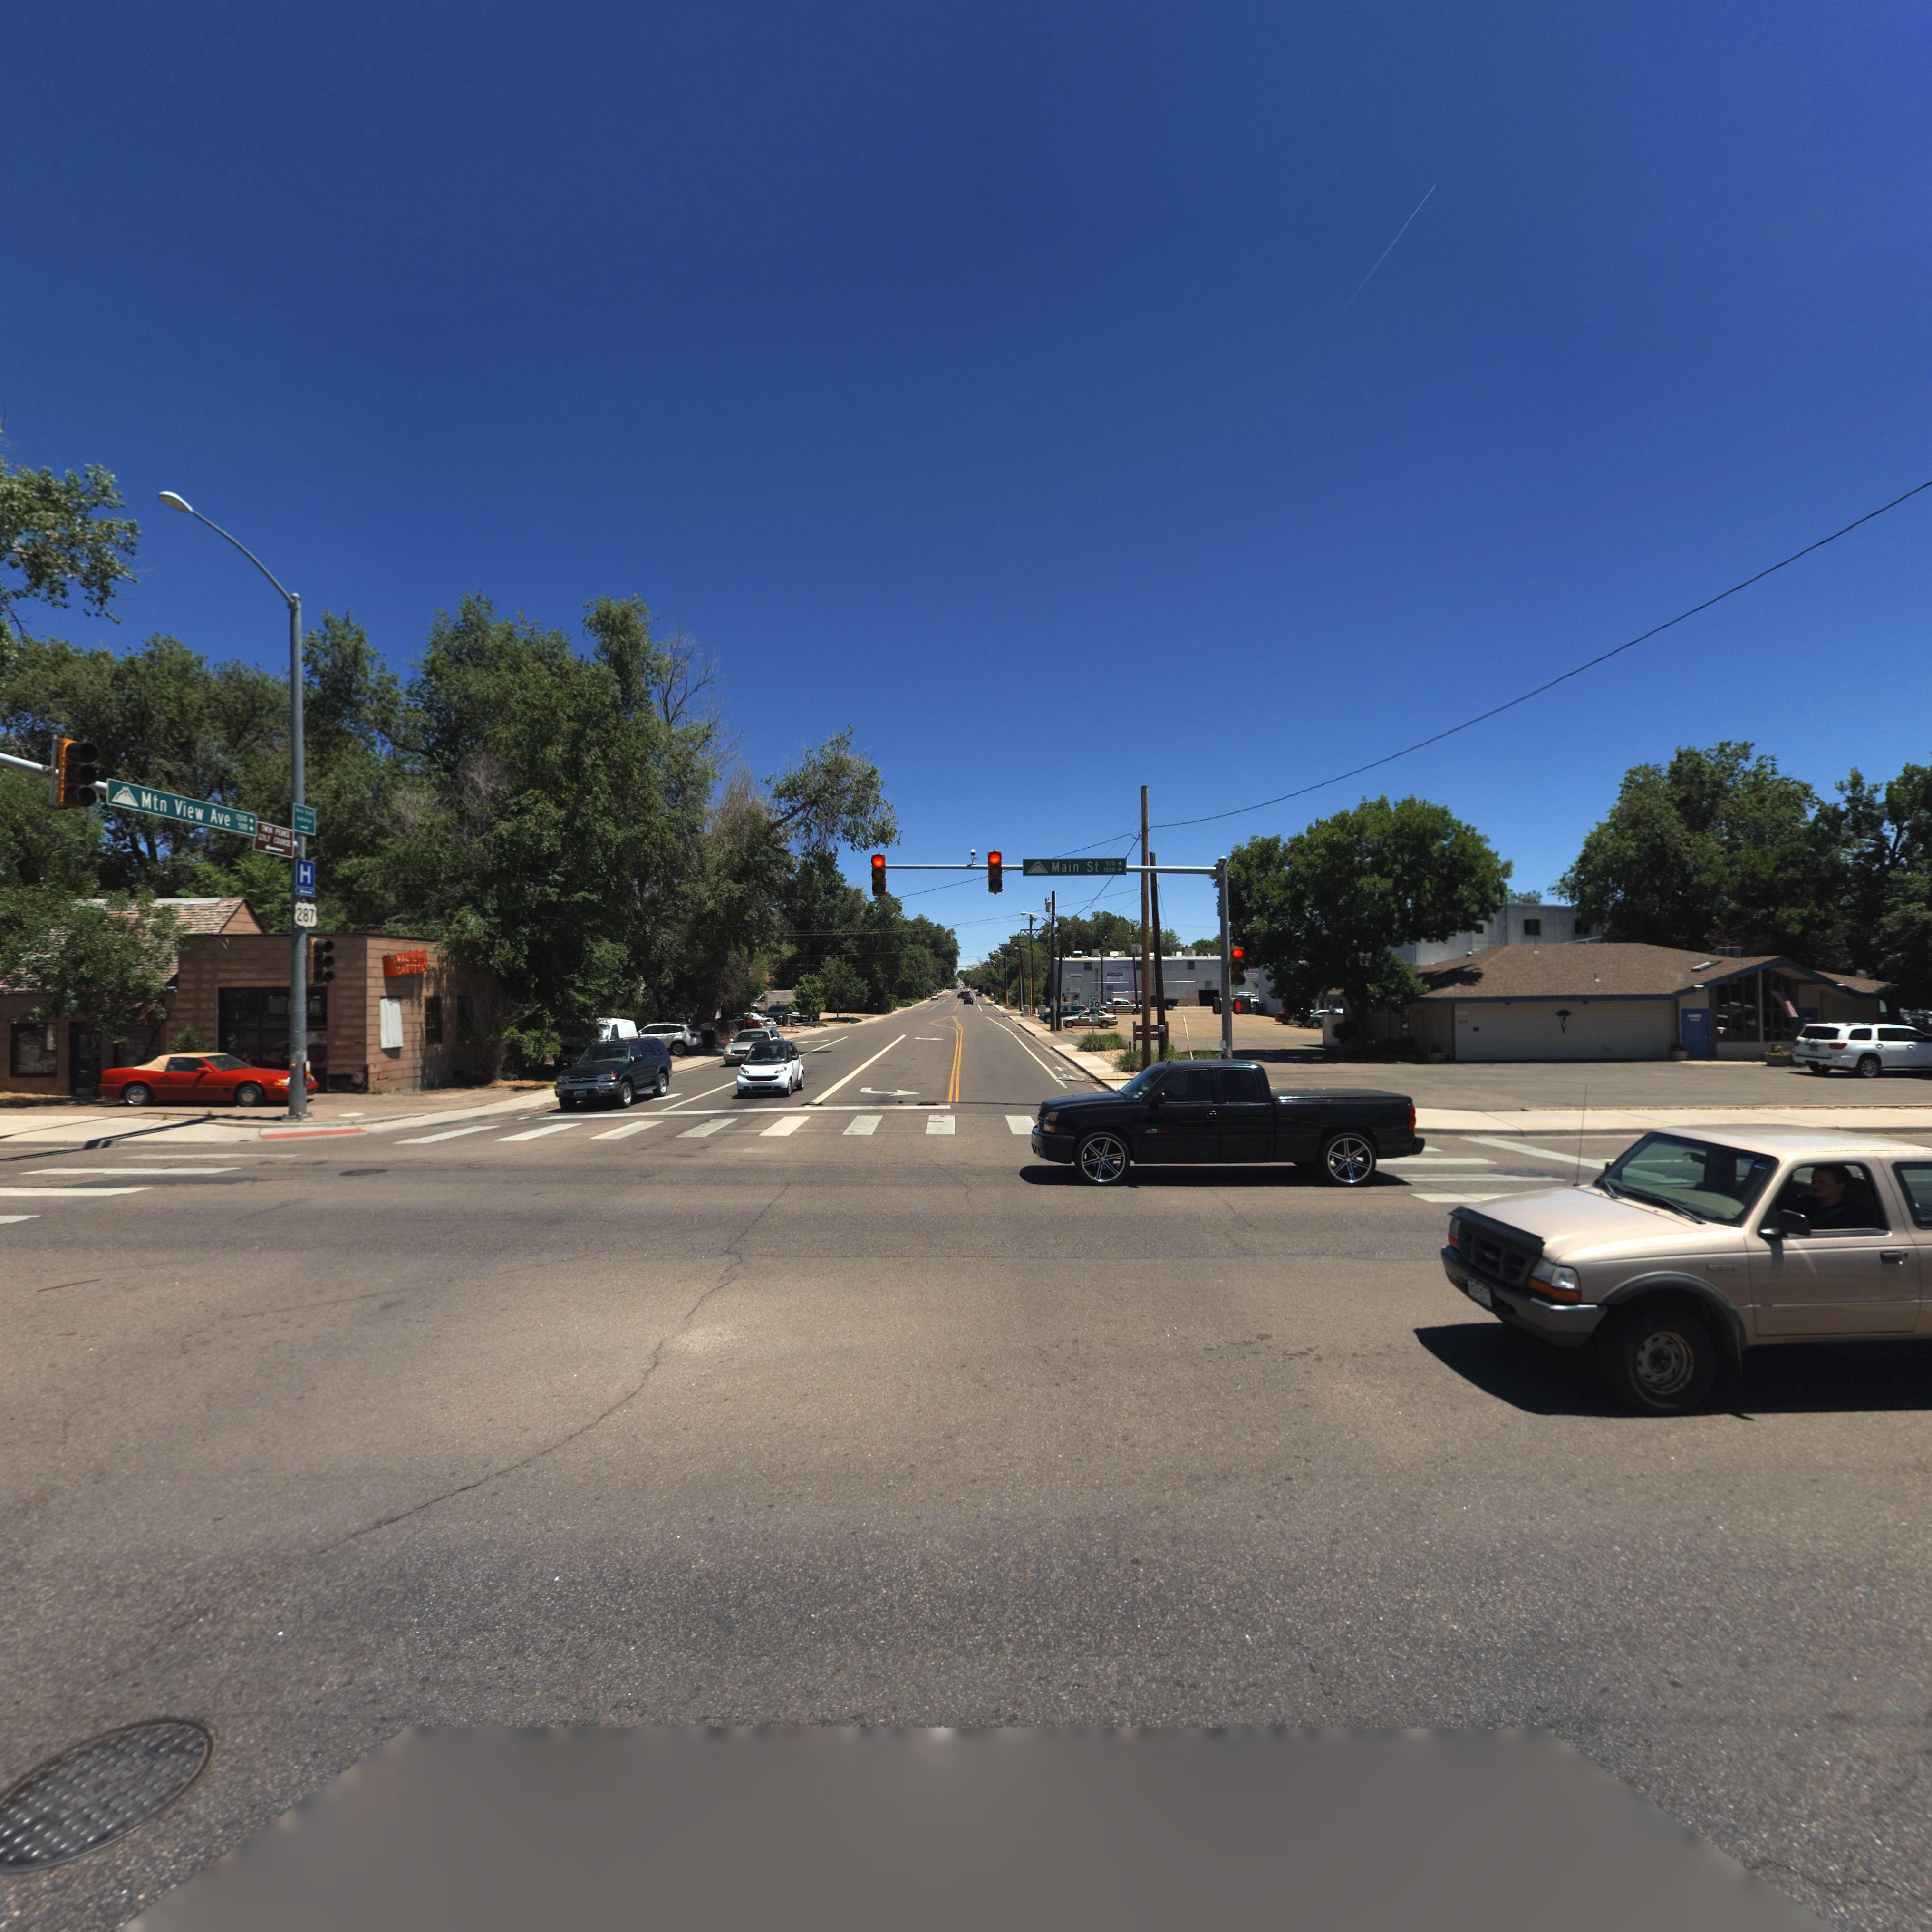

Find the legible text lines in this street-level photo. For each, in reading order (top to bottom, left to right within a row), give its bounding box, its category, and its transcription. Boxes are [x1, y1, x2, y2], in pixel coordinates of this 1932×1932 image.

[141, 790, 231, 827] StreetName: Mtn View Ave
[235, 813, 247, 822] StreetNumberRange: 1300
[237, 821, 254, 831] StreetNumberRange: 500->
[1051, 861, 1099, 873] StreetName: Maim St
[1105, 860, 1115, 866] StreetNumberRange: 500
[1102, 867, 1122, 872] StreetNumberRange: 1200->
[393, 950, 427, 964] BusinessName: RAL*LPH
[395, 961, 430, 975] BusinessName: CASTLE